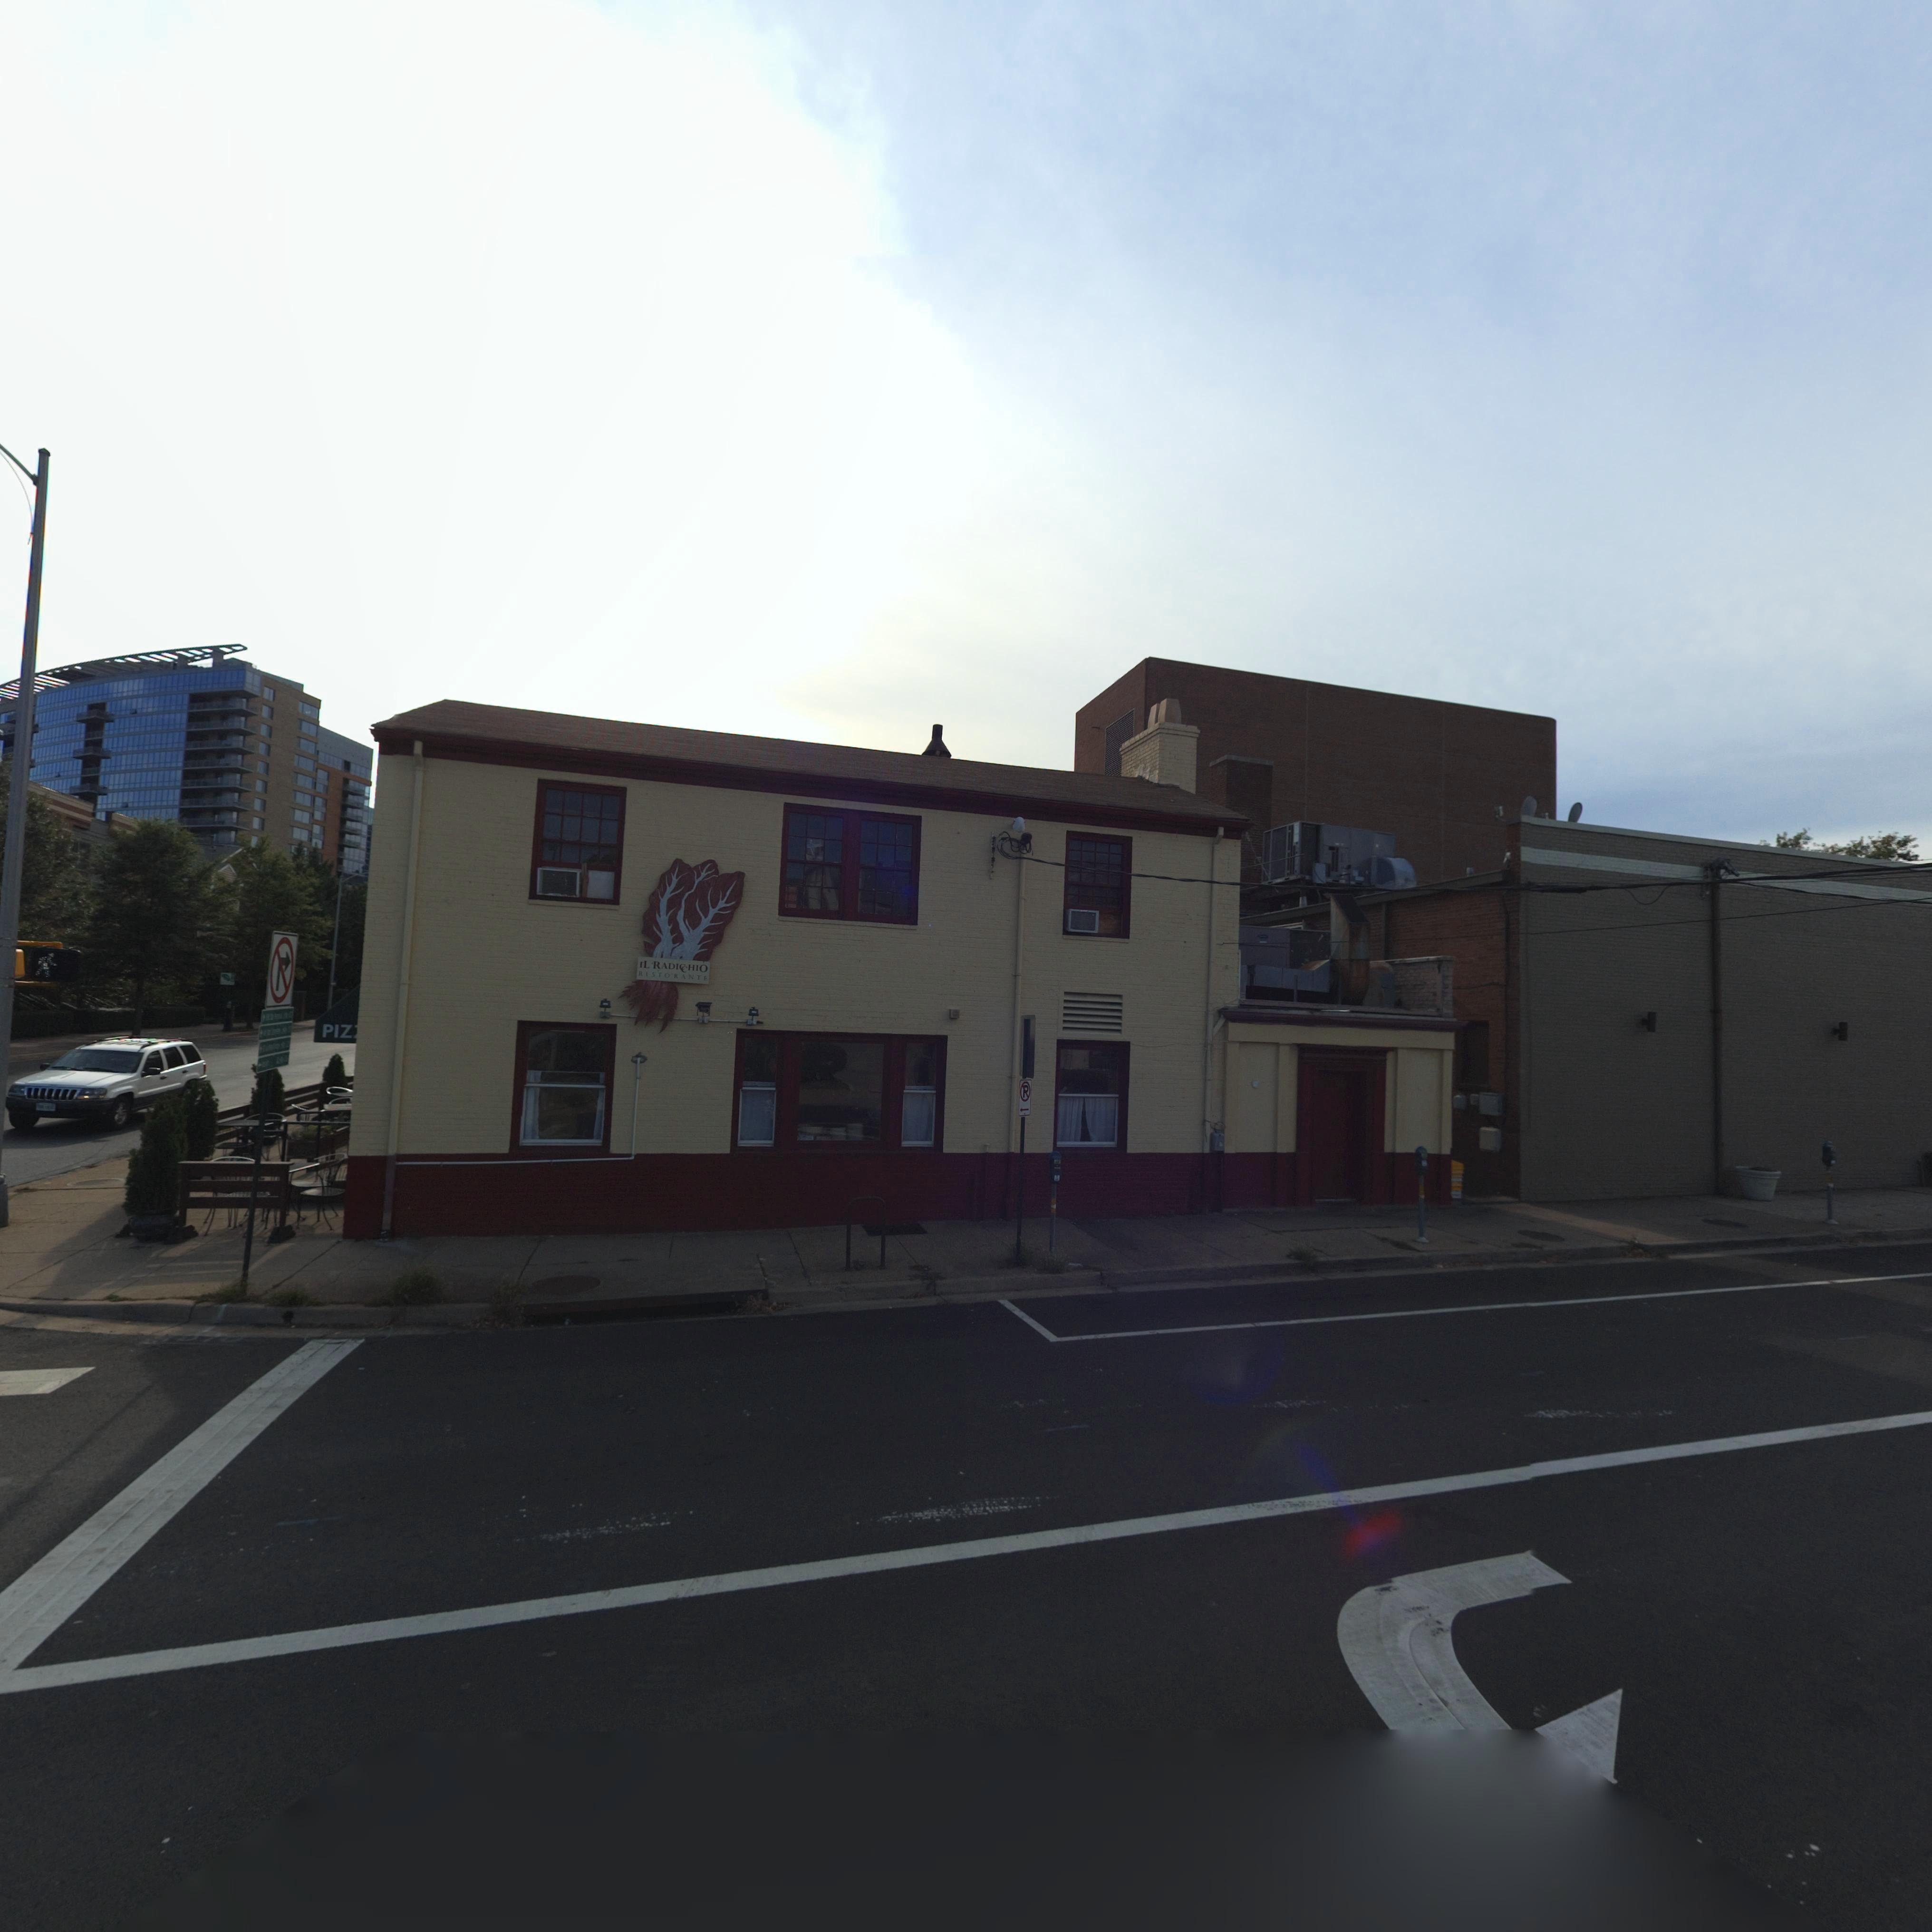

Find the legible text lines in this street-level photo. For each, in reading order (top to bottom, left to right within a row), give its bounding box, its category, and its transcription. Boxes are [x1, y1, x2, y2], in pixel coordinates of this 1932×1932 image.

[642, 959, 709, 974] BusinessName: L RADI*HIO
[637, 970, 709, 982] BusinessName: RISTORANT*
[320, 1023, 354, 1040] None: PIZ